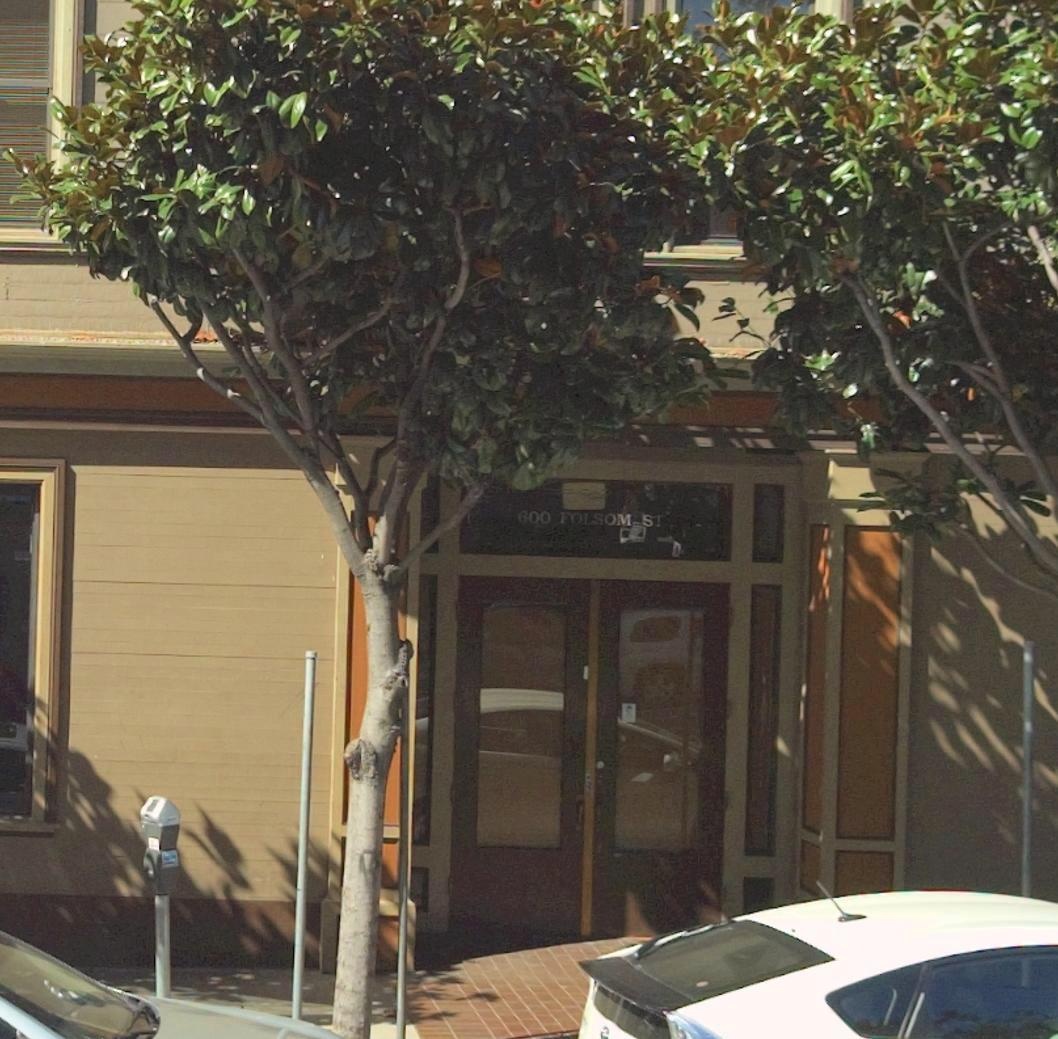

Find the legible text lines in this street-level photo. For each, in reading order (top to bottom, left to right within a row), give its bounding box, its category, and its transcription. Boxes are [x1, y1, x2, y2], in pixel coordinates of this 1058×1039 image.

[516, 506, 555, 527] StreetNumber: 600
[558, 508, 667, 532] StreetName: FOLSOM ST